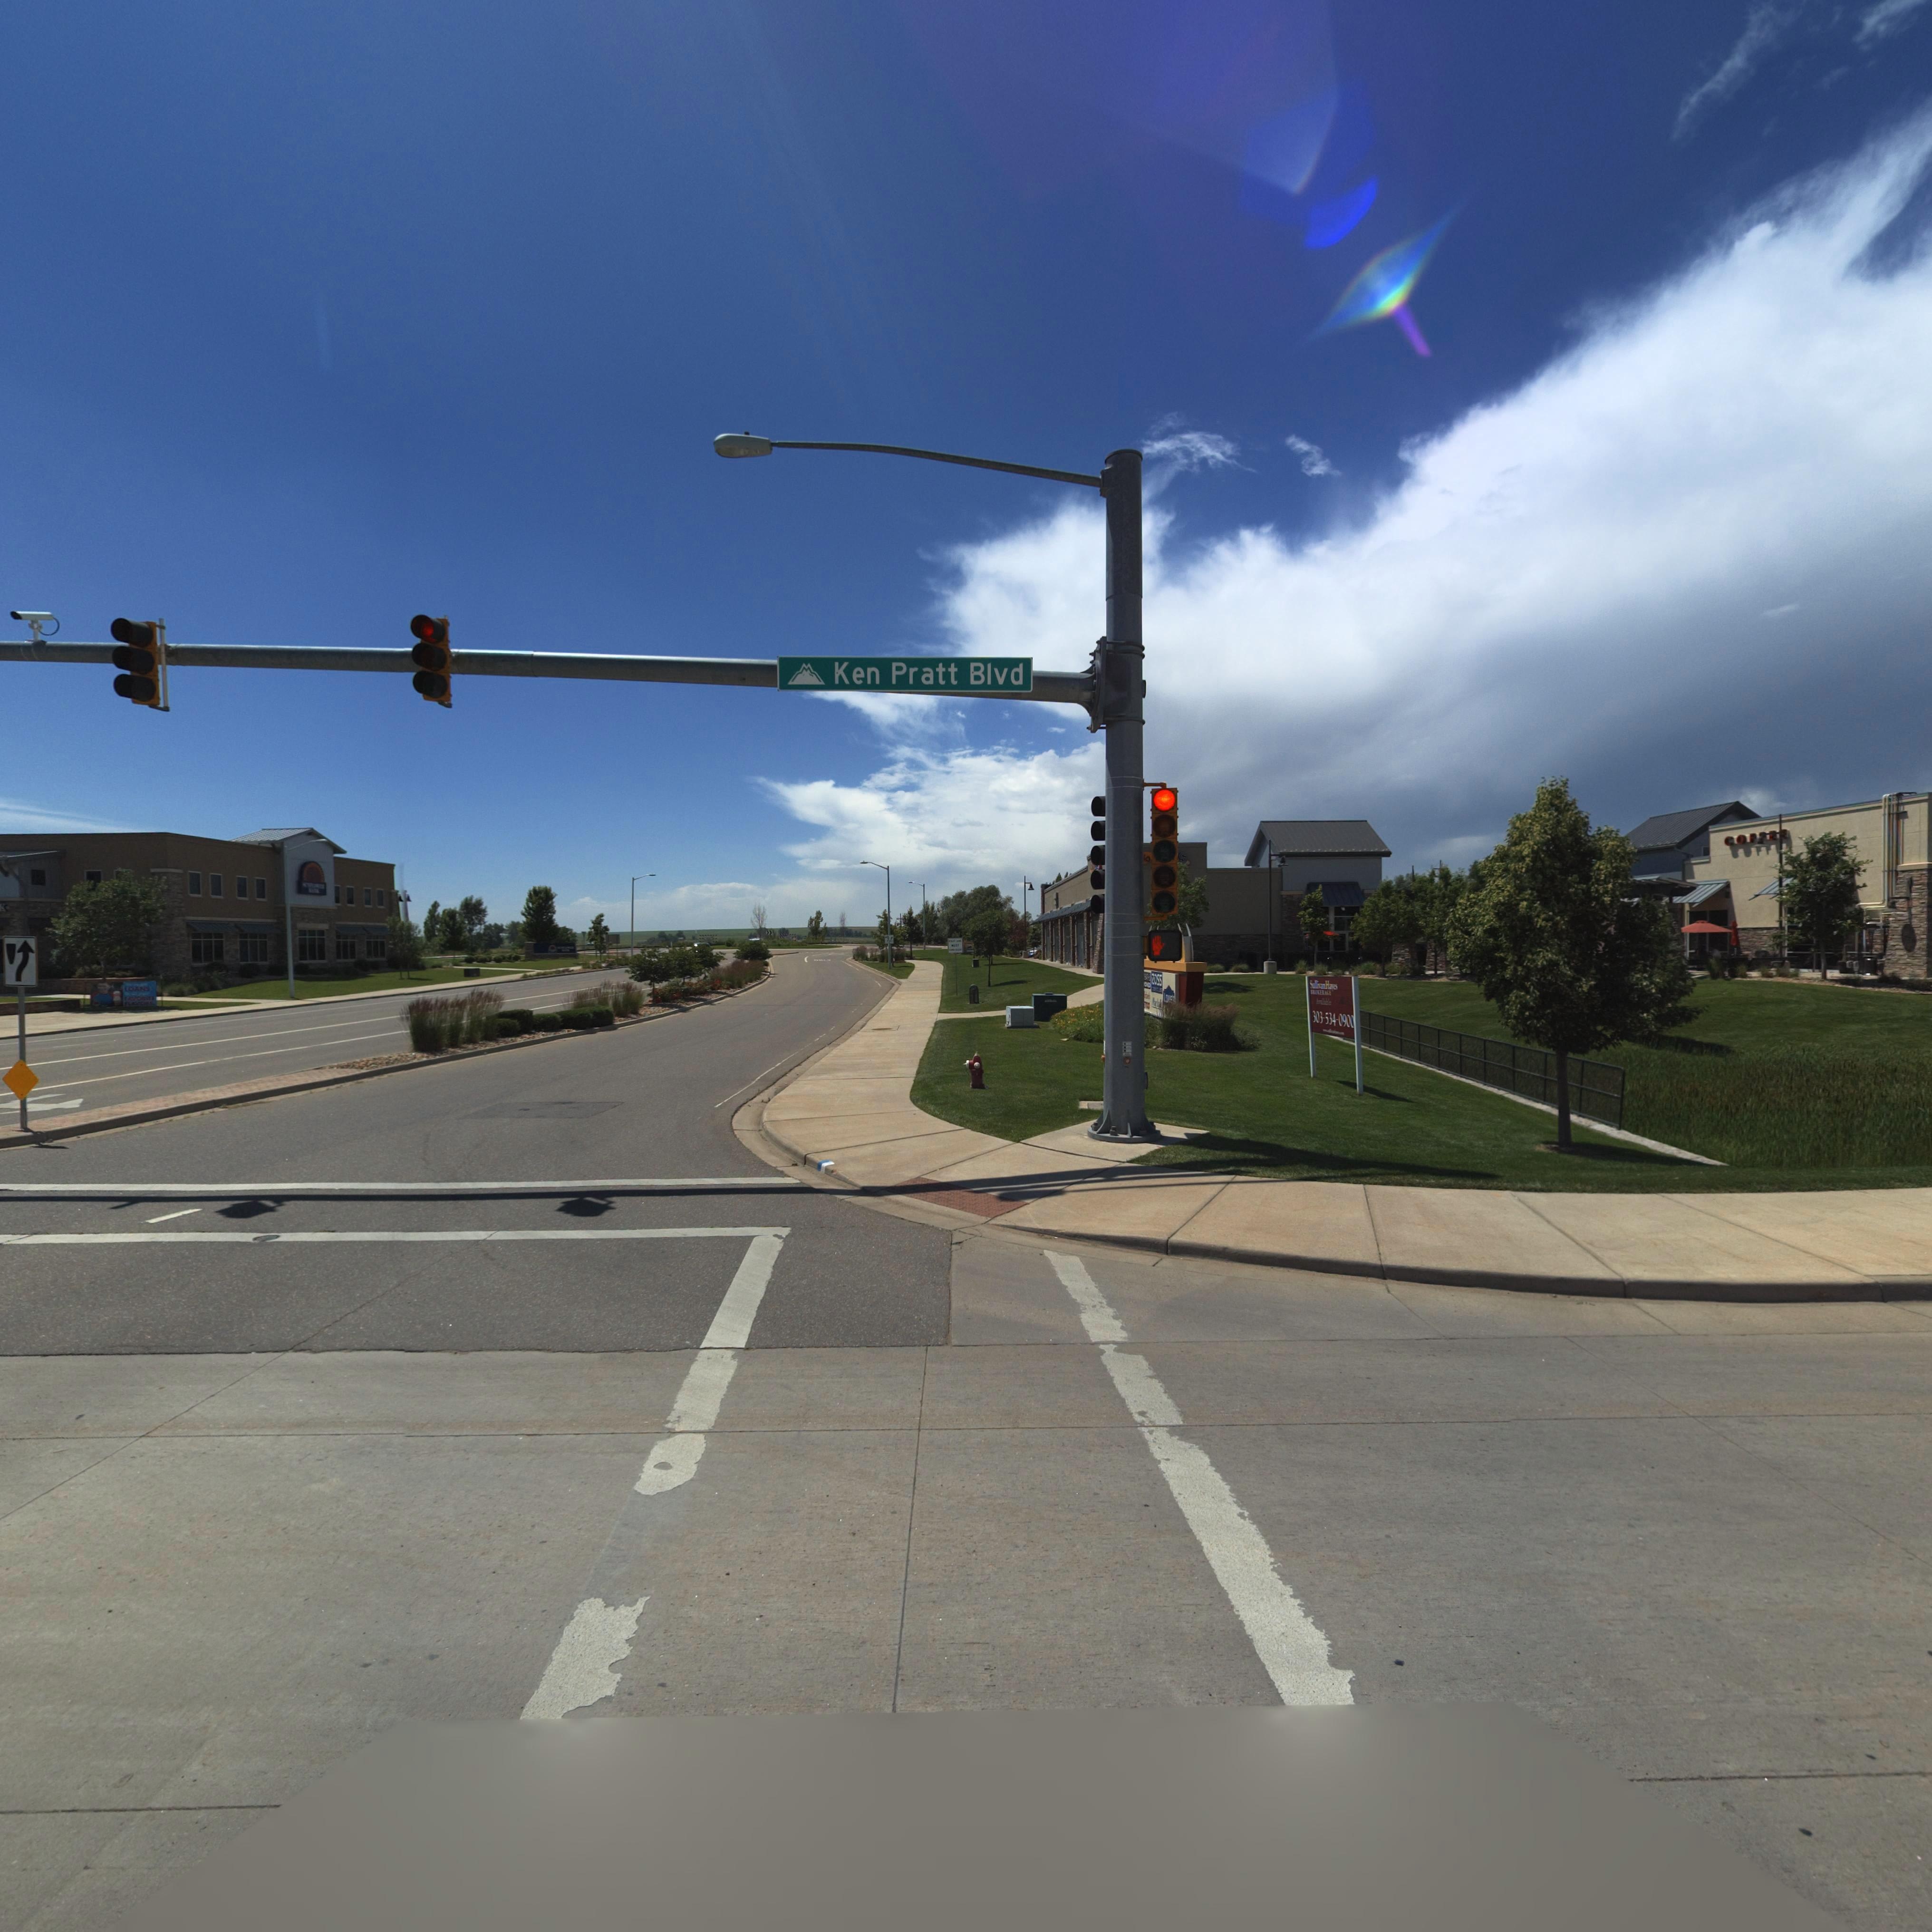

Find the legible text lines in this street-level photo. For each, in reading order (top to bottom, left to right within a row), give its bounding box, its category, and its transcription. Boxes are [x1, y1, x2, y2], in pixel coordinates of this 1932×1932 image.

[834, 662, 1023, 685] StreetName: Ken Pratt Blvd
[302, 881, 325, 889] BusinessName: SU****WER
[308, 887, 319, 893] BusinessName: *A*K
[1151, 972, 1162, 986] BusinessName: ROSS
[1143, 1000, 1150, 1010] BusinessName: ETCO
[1150, 996, 1164, 1009] BusinessName: M**h**ls*s
[1163, 992, 1175, 1005] BusinessName: LOWE**